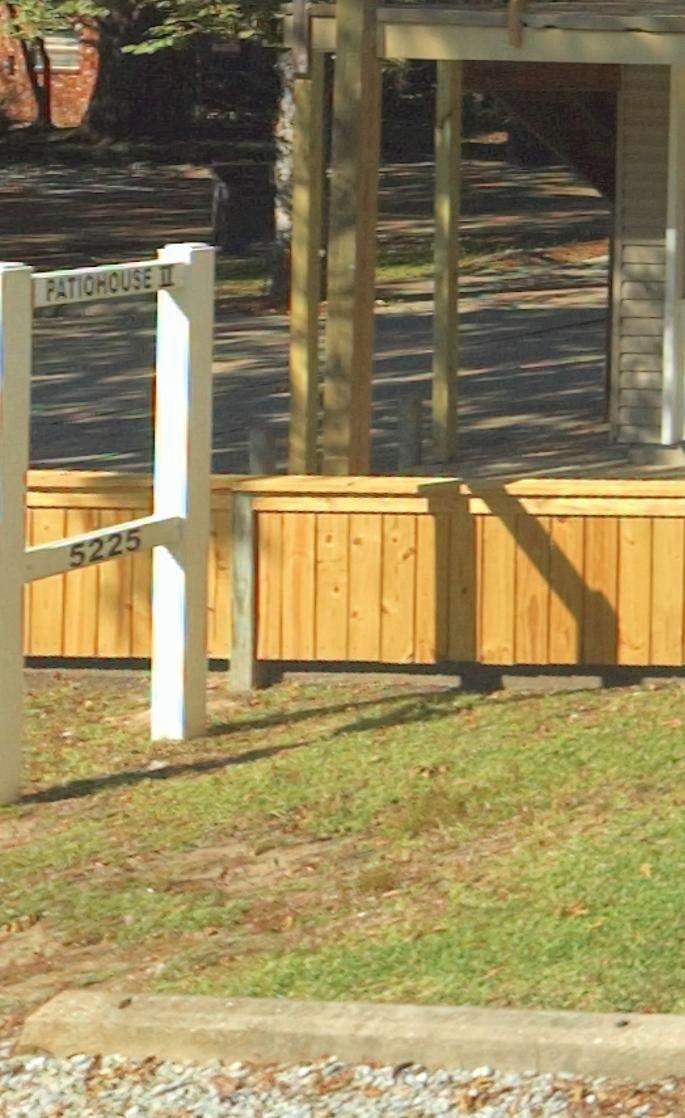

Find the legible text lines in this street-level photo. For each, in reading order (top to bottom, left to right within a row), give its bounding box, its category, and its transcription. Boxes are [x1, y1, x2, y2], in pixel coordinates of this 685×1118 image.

[44, 263, 175, 304] None: PATIOHOUSE II
[68, 527, 142, 571] StreetNumber: 5225